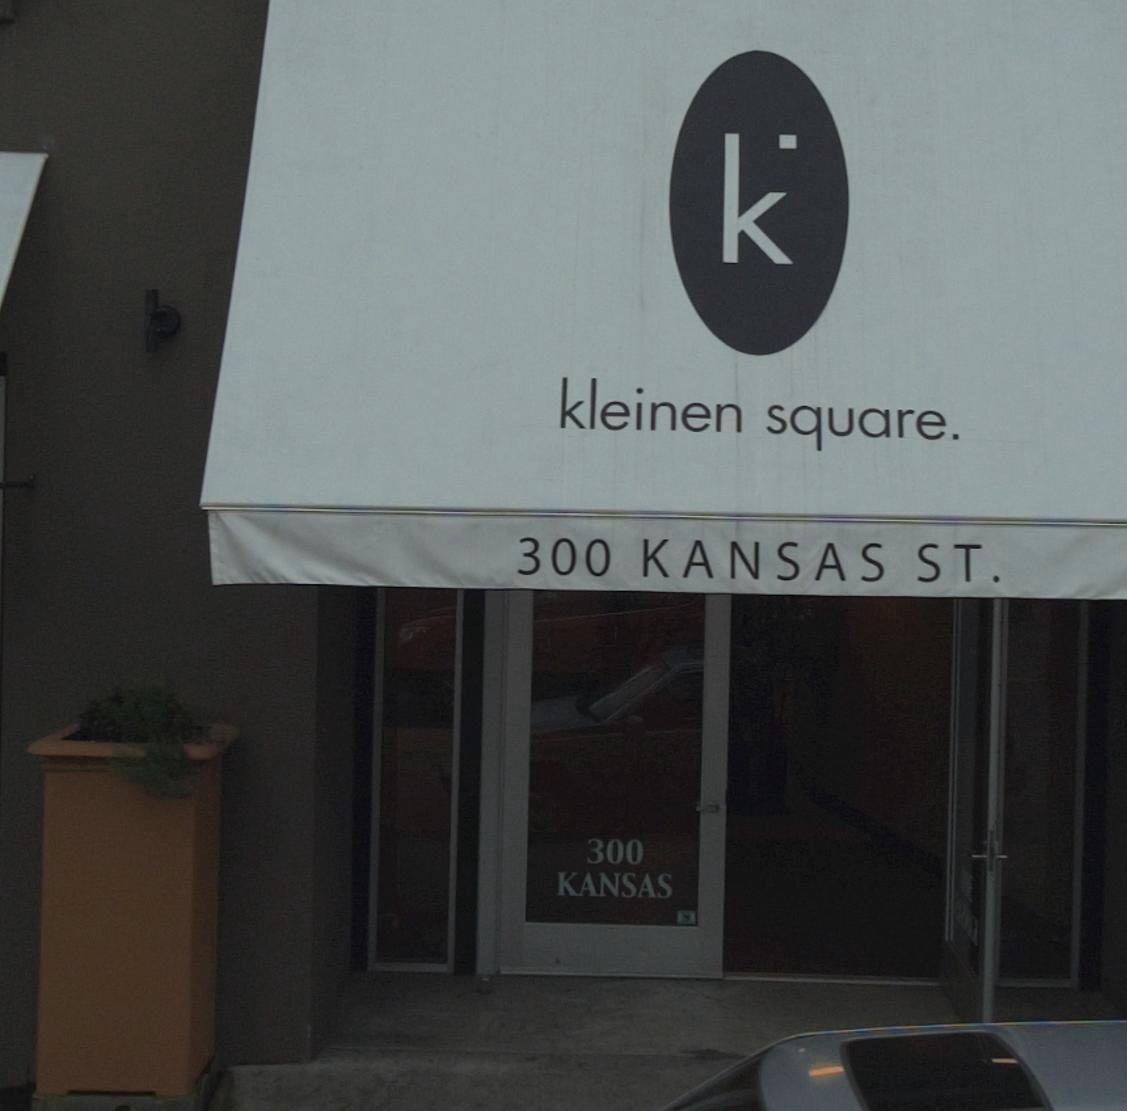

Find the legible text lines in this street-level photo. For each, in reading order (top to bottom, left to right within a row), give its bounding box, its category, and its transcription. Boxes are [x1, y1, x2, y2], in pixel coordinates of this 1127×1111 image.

[719, 130, 797, 266] None: k
[558, 373, 950, 453] BusinessName: kleinen square
[515, 535, 612, 578] StreetNumber: 300
[641, 535, 987, 584] StreetName: KANSAS ST
[585, 837, 645, 866] StreetNumber: 300
[555, 869, 675, 900] StreetName: KANSAS